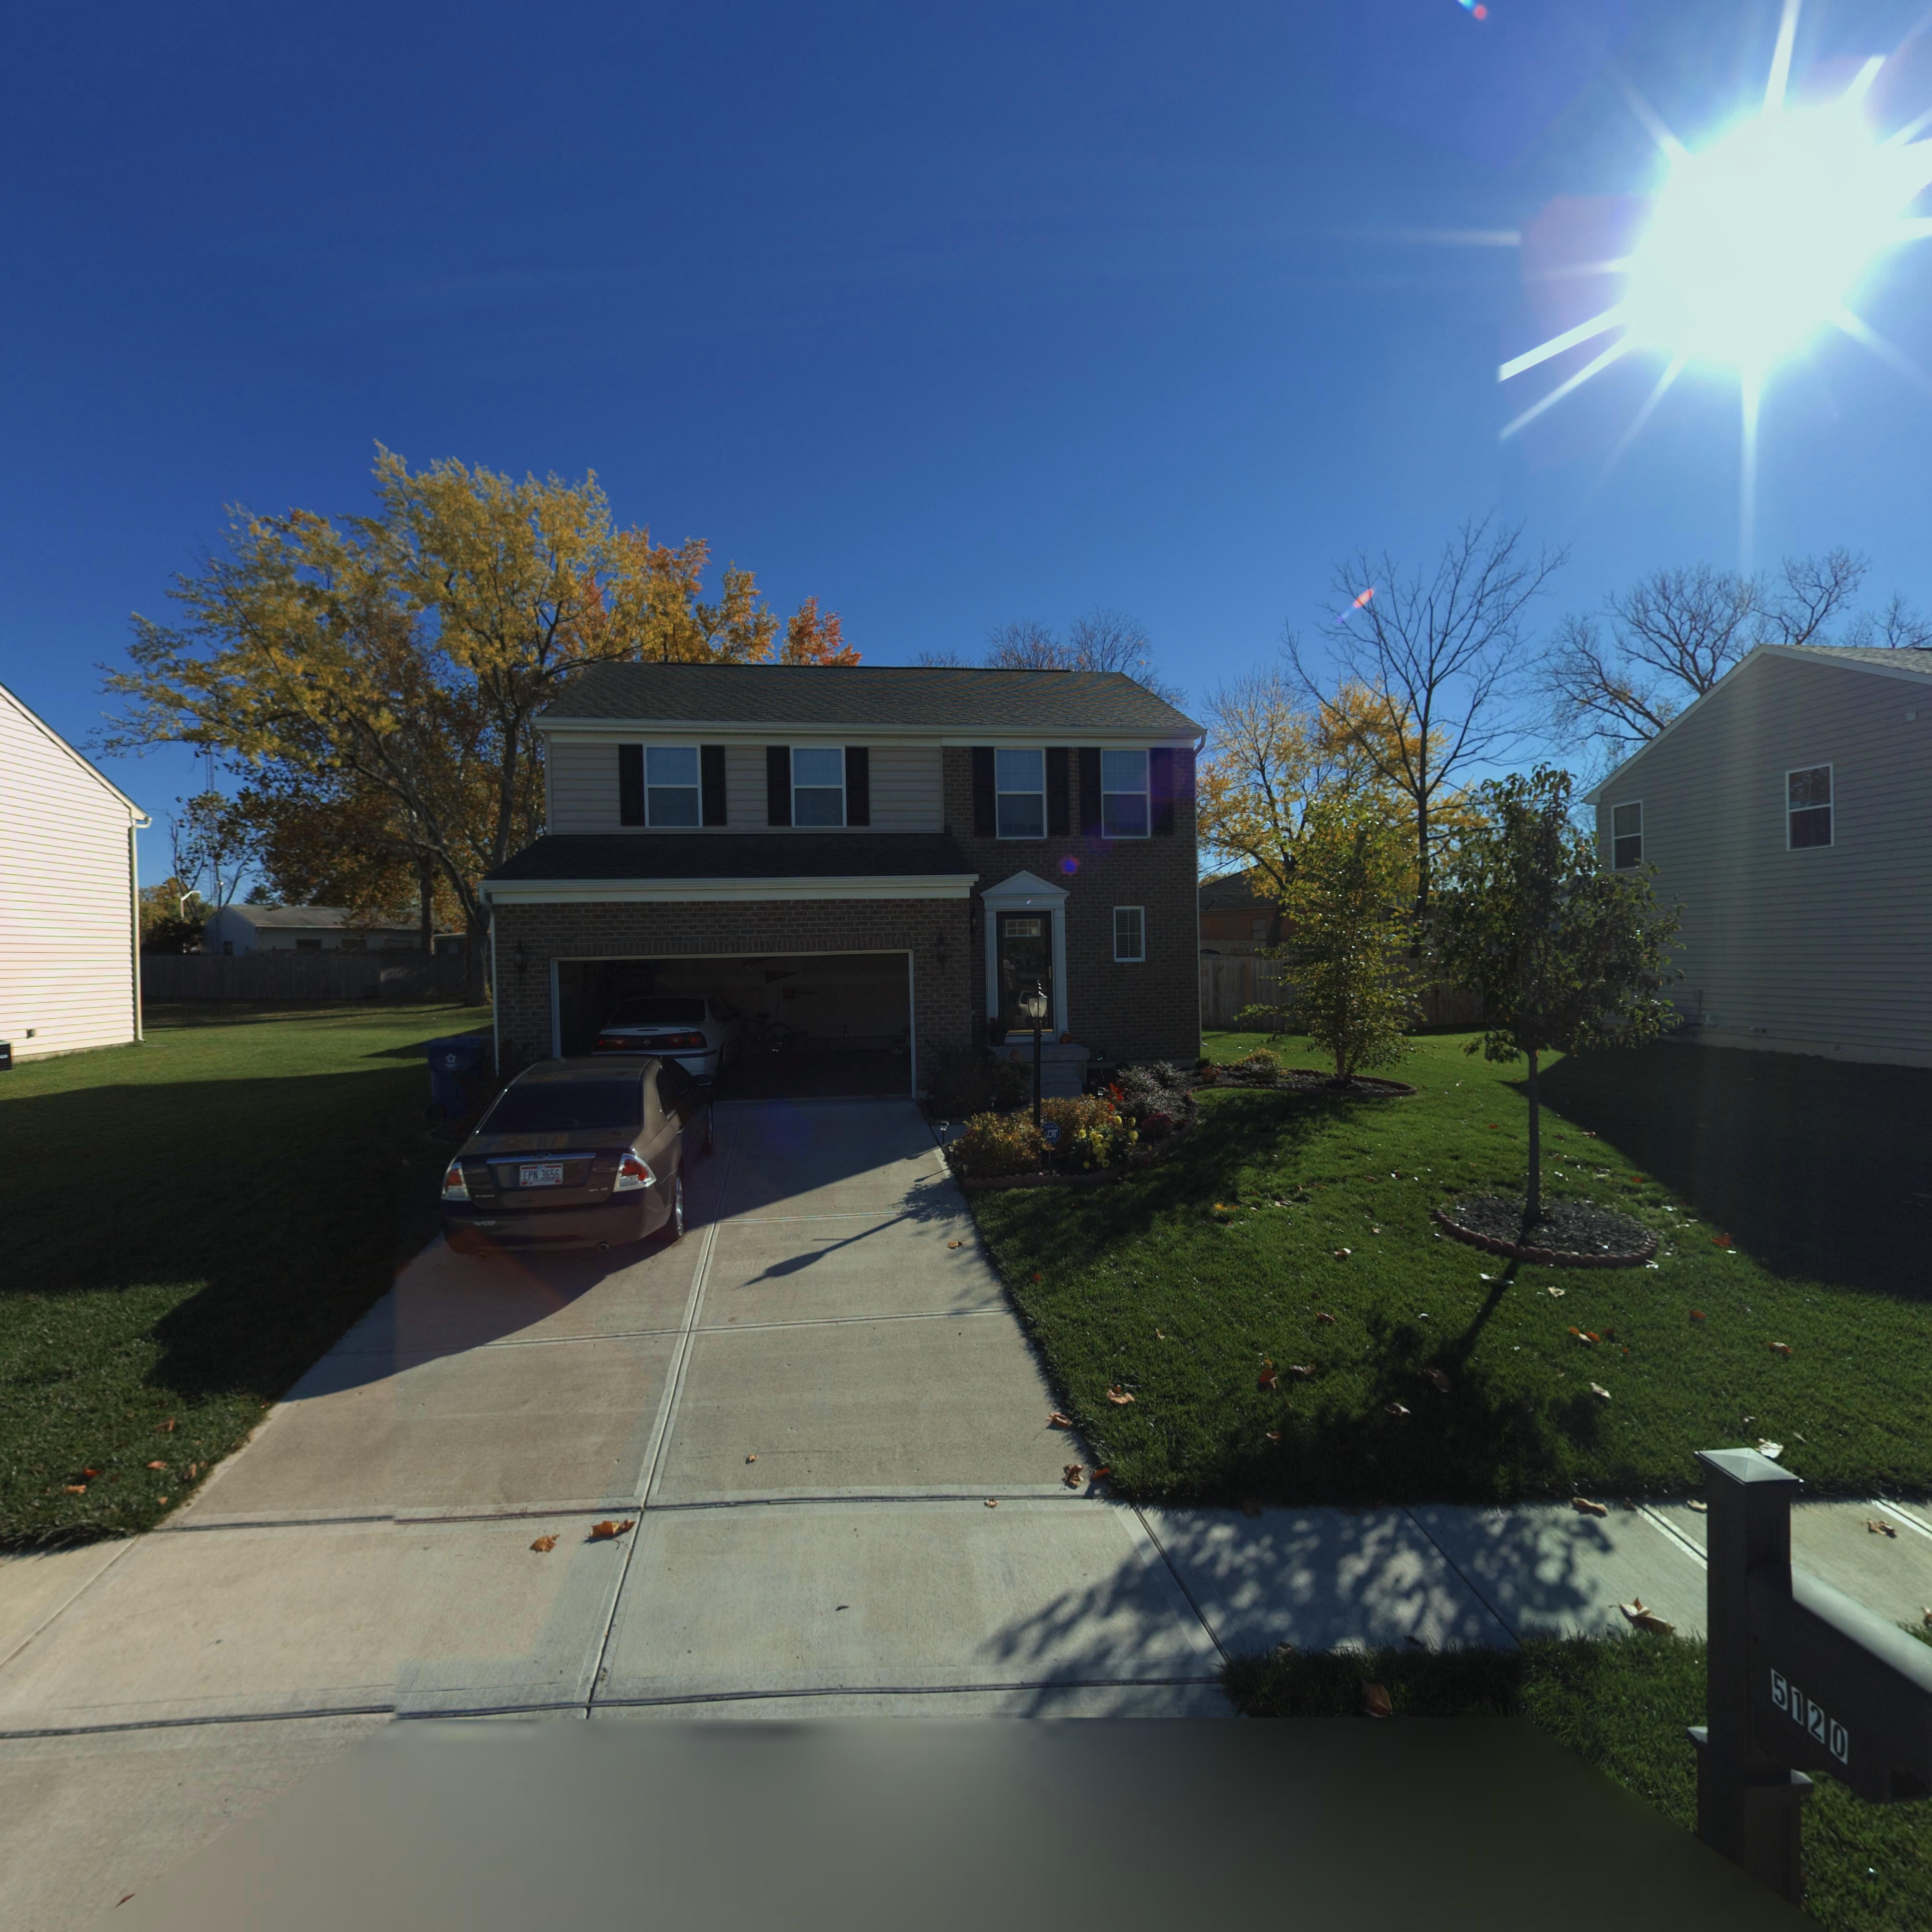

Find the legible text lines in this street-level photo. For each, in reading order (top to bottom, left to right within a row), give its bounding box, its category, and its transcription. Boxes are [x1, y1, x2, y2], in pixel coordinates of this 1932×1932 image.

[1770, 1667, 1848, 1767] StreetNumber: 5120